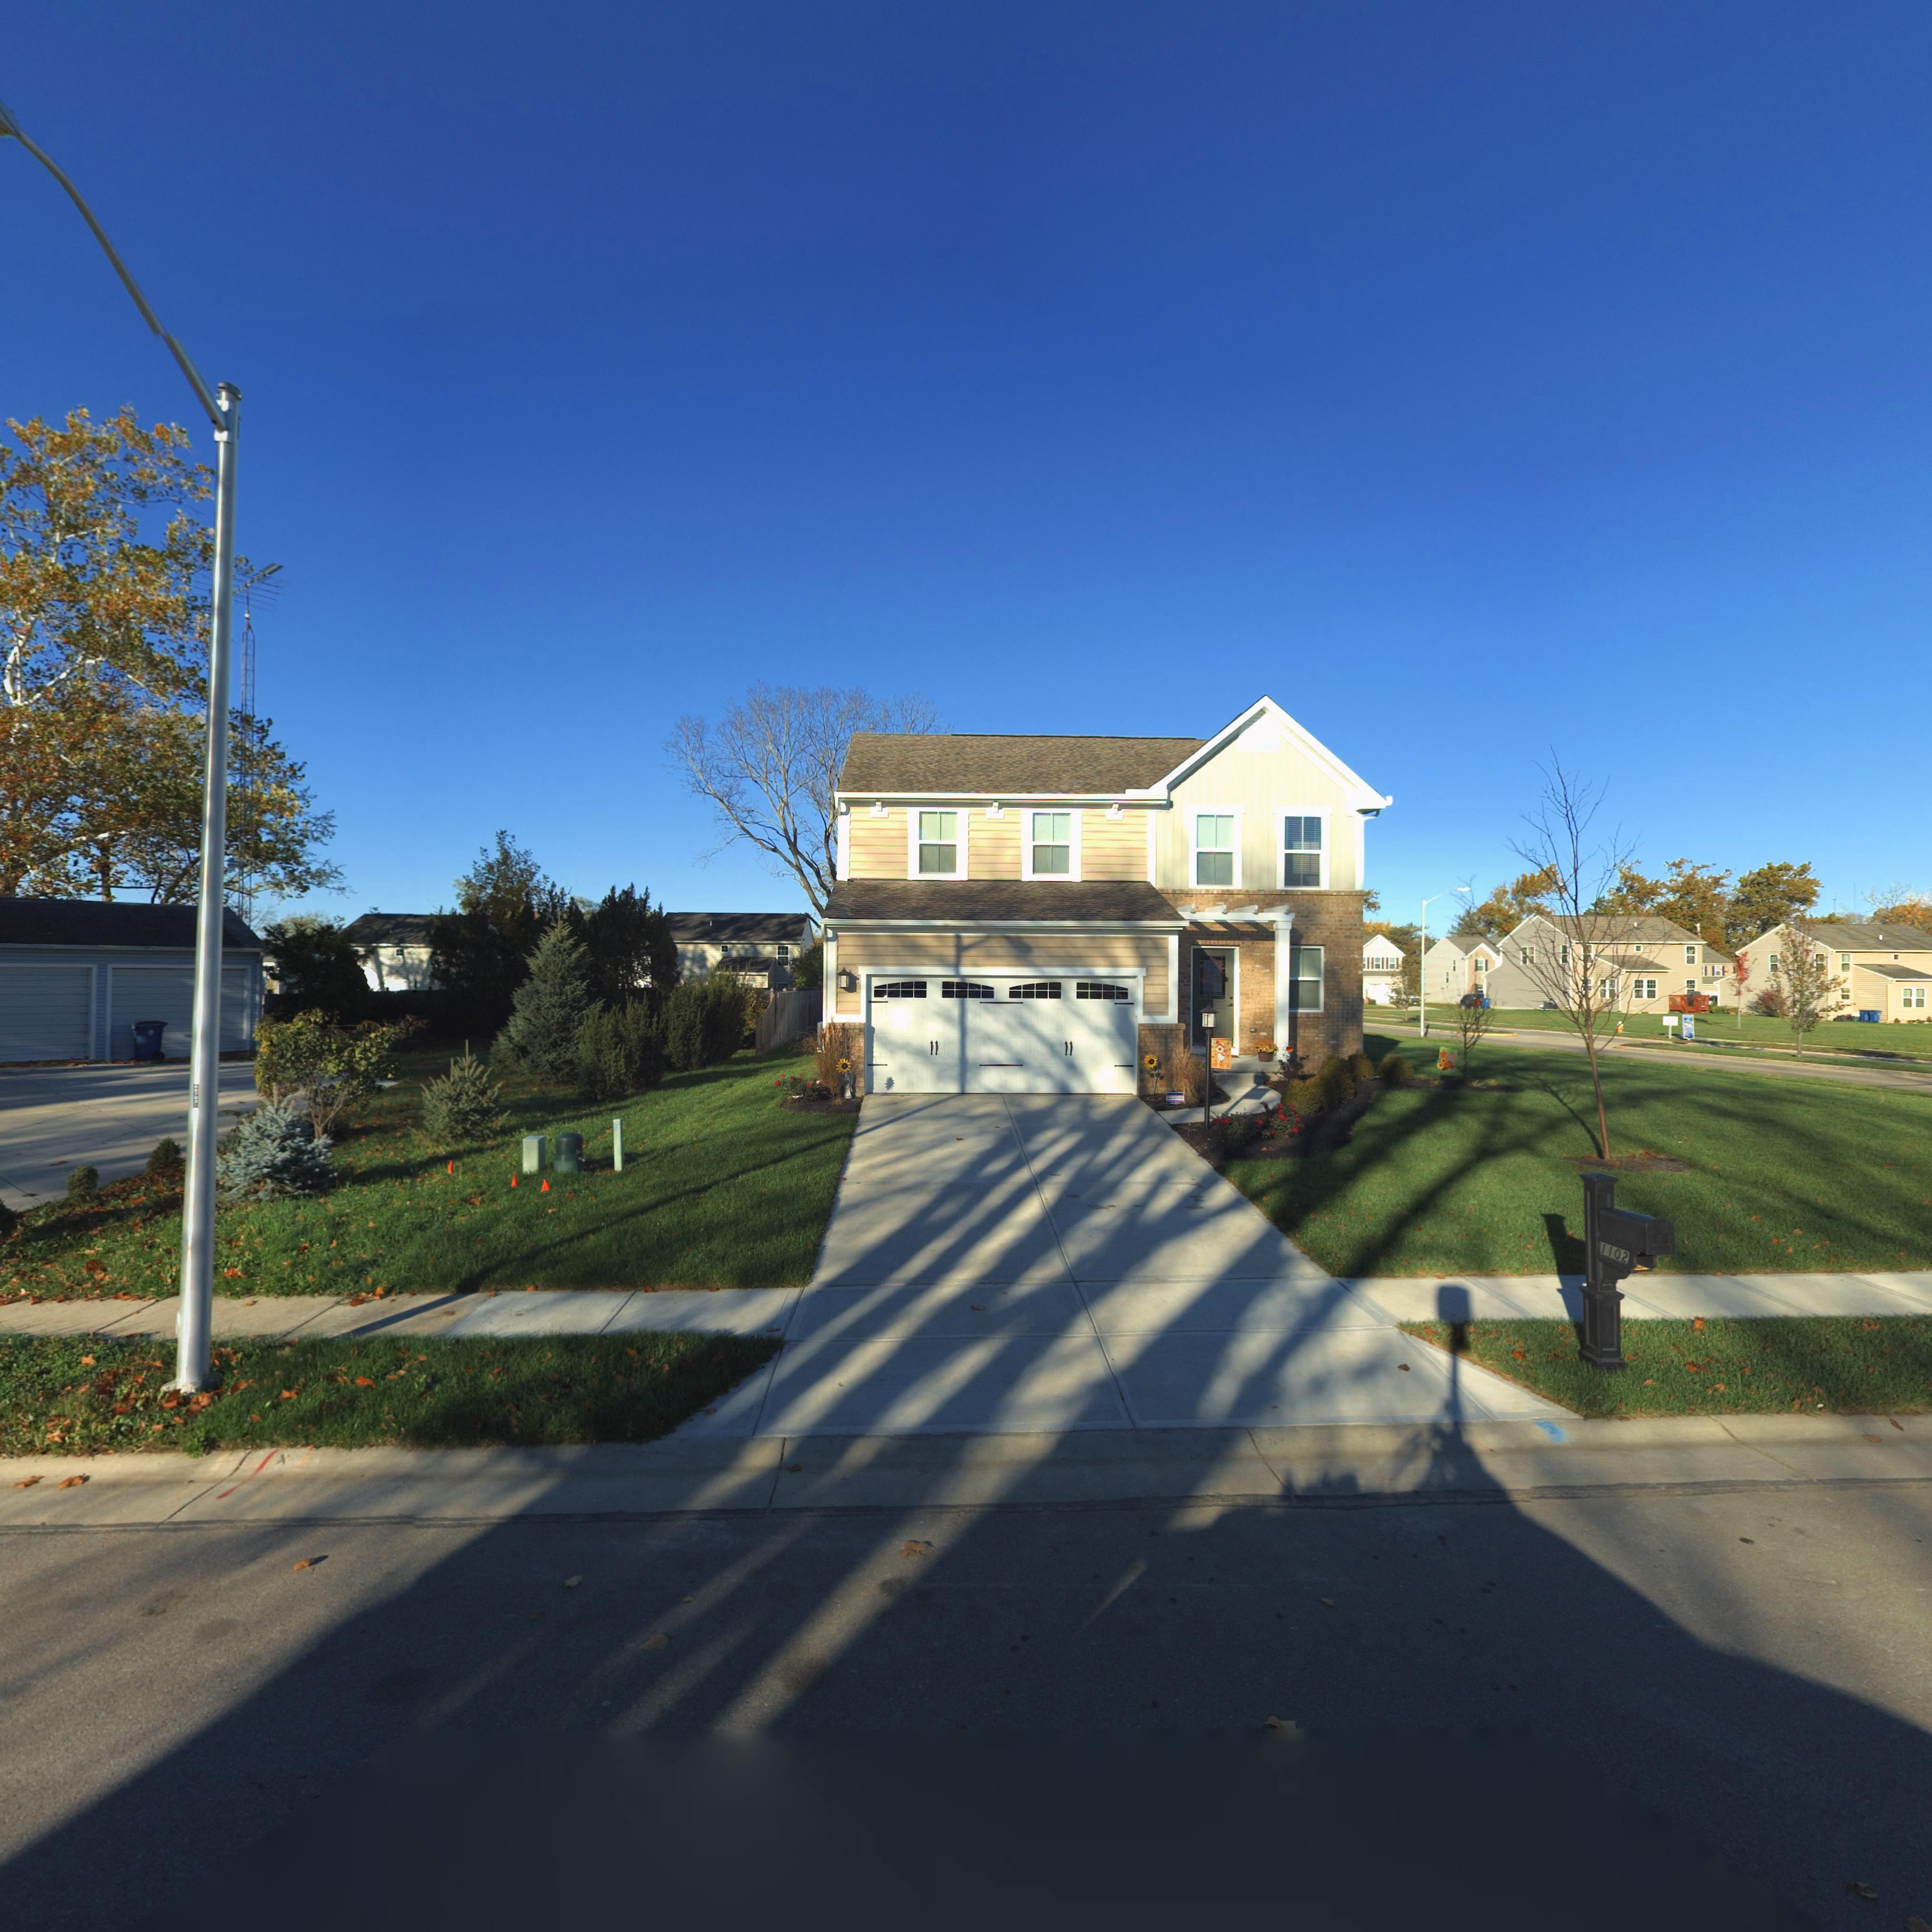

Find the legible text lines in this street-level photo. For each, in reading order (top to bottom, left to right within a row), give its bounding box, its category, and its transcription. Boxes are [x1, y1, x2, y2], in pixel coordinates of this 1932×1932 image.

[1601, 1243, 1629, 1264] StreetNumber: 1102